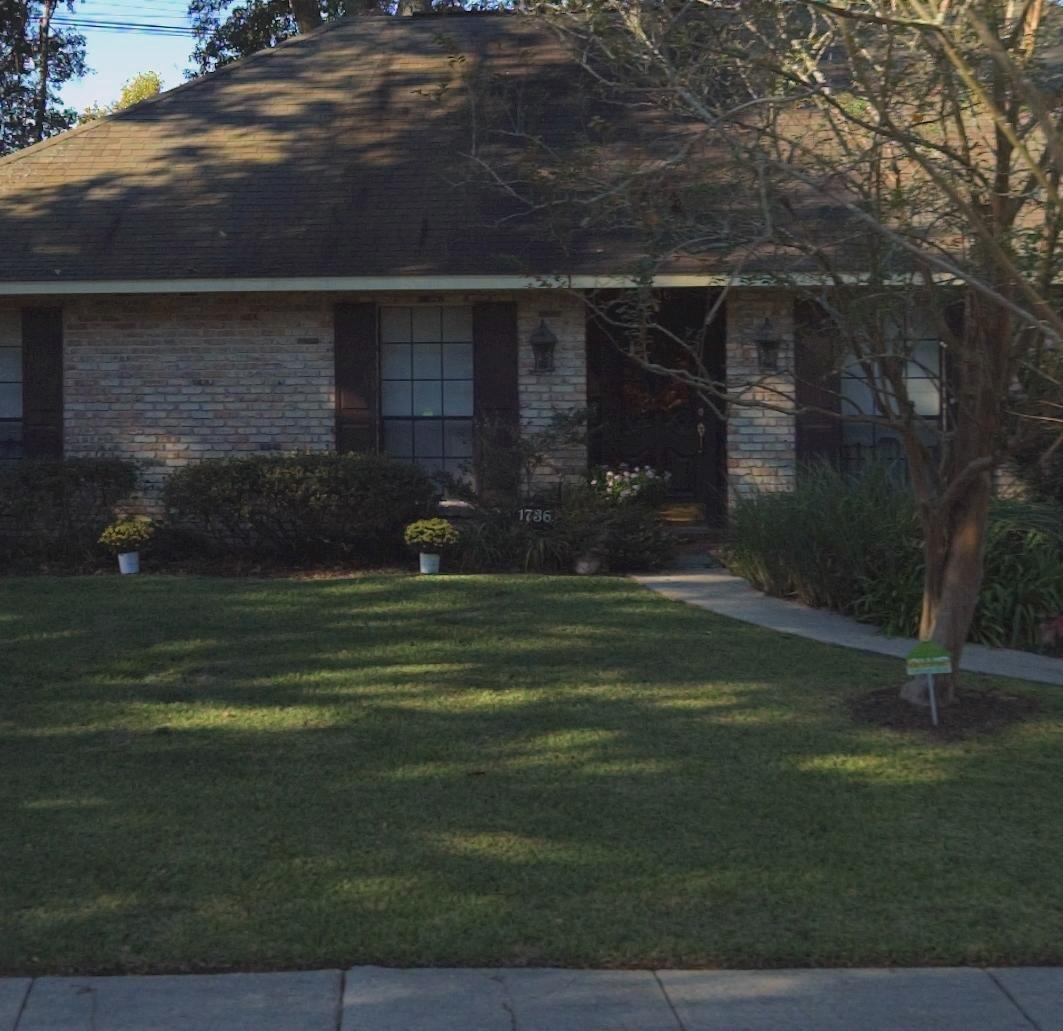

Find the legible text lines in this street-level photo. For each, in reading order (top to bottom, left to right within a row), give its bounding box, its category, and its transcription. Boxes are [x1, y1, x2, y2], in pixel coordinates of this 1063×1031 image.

[516, 507, 553, 524] StreetNumber: 1736